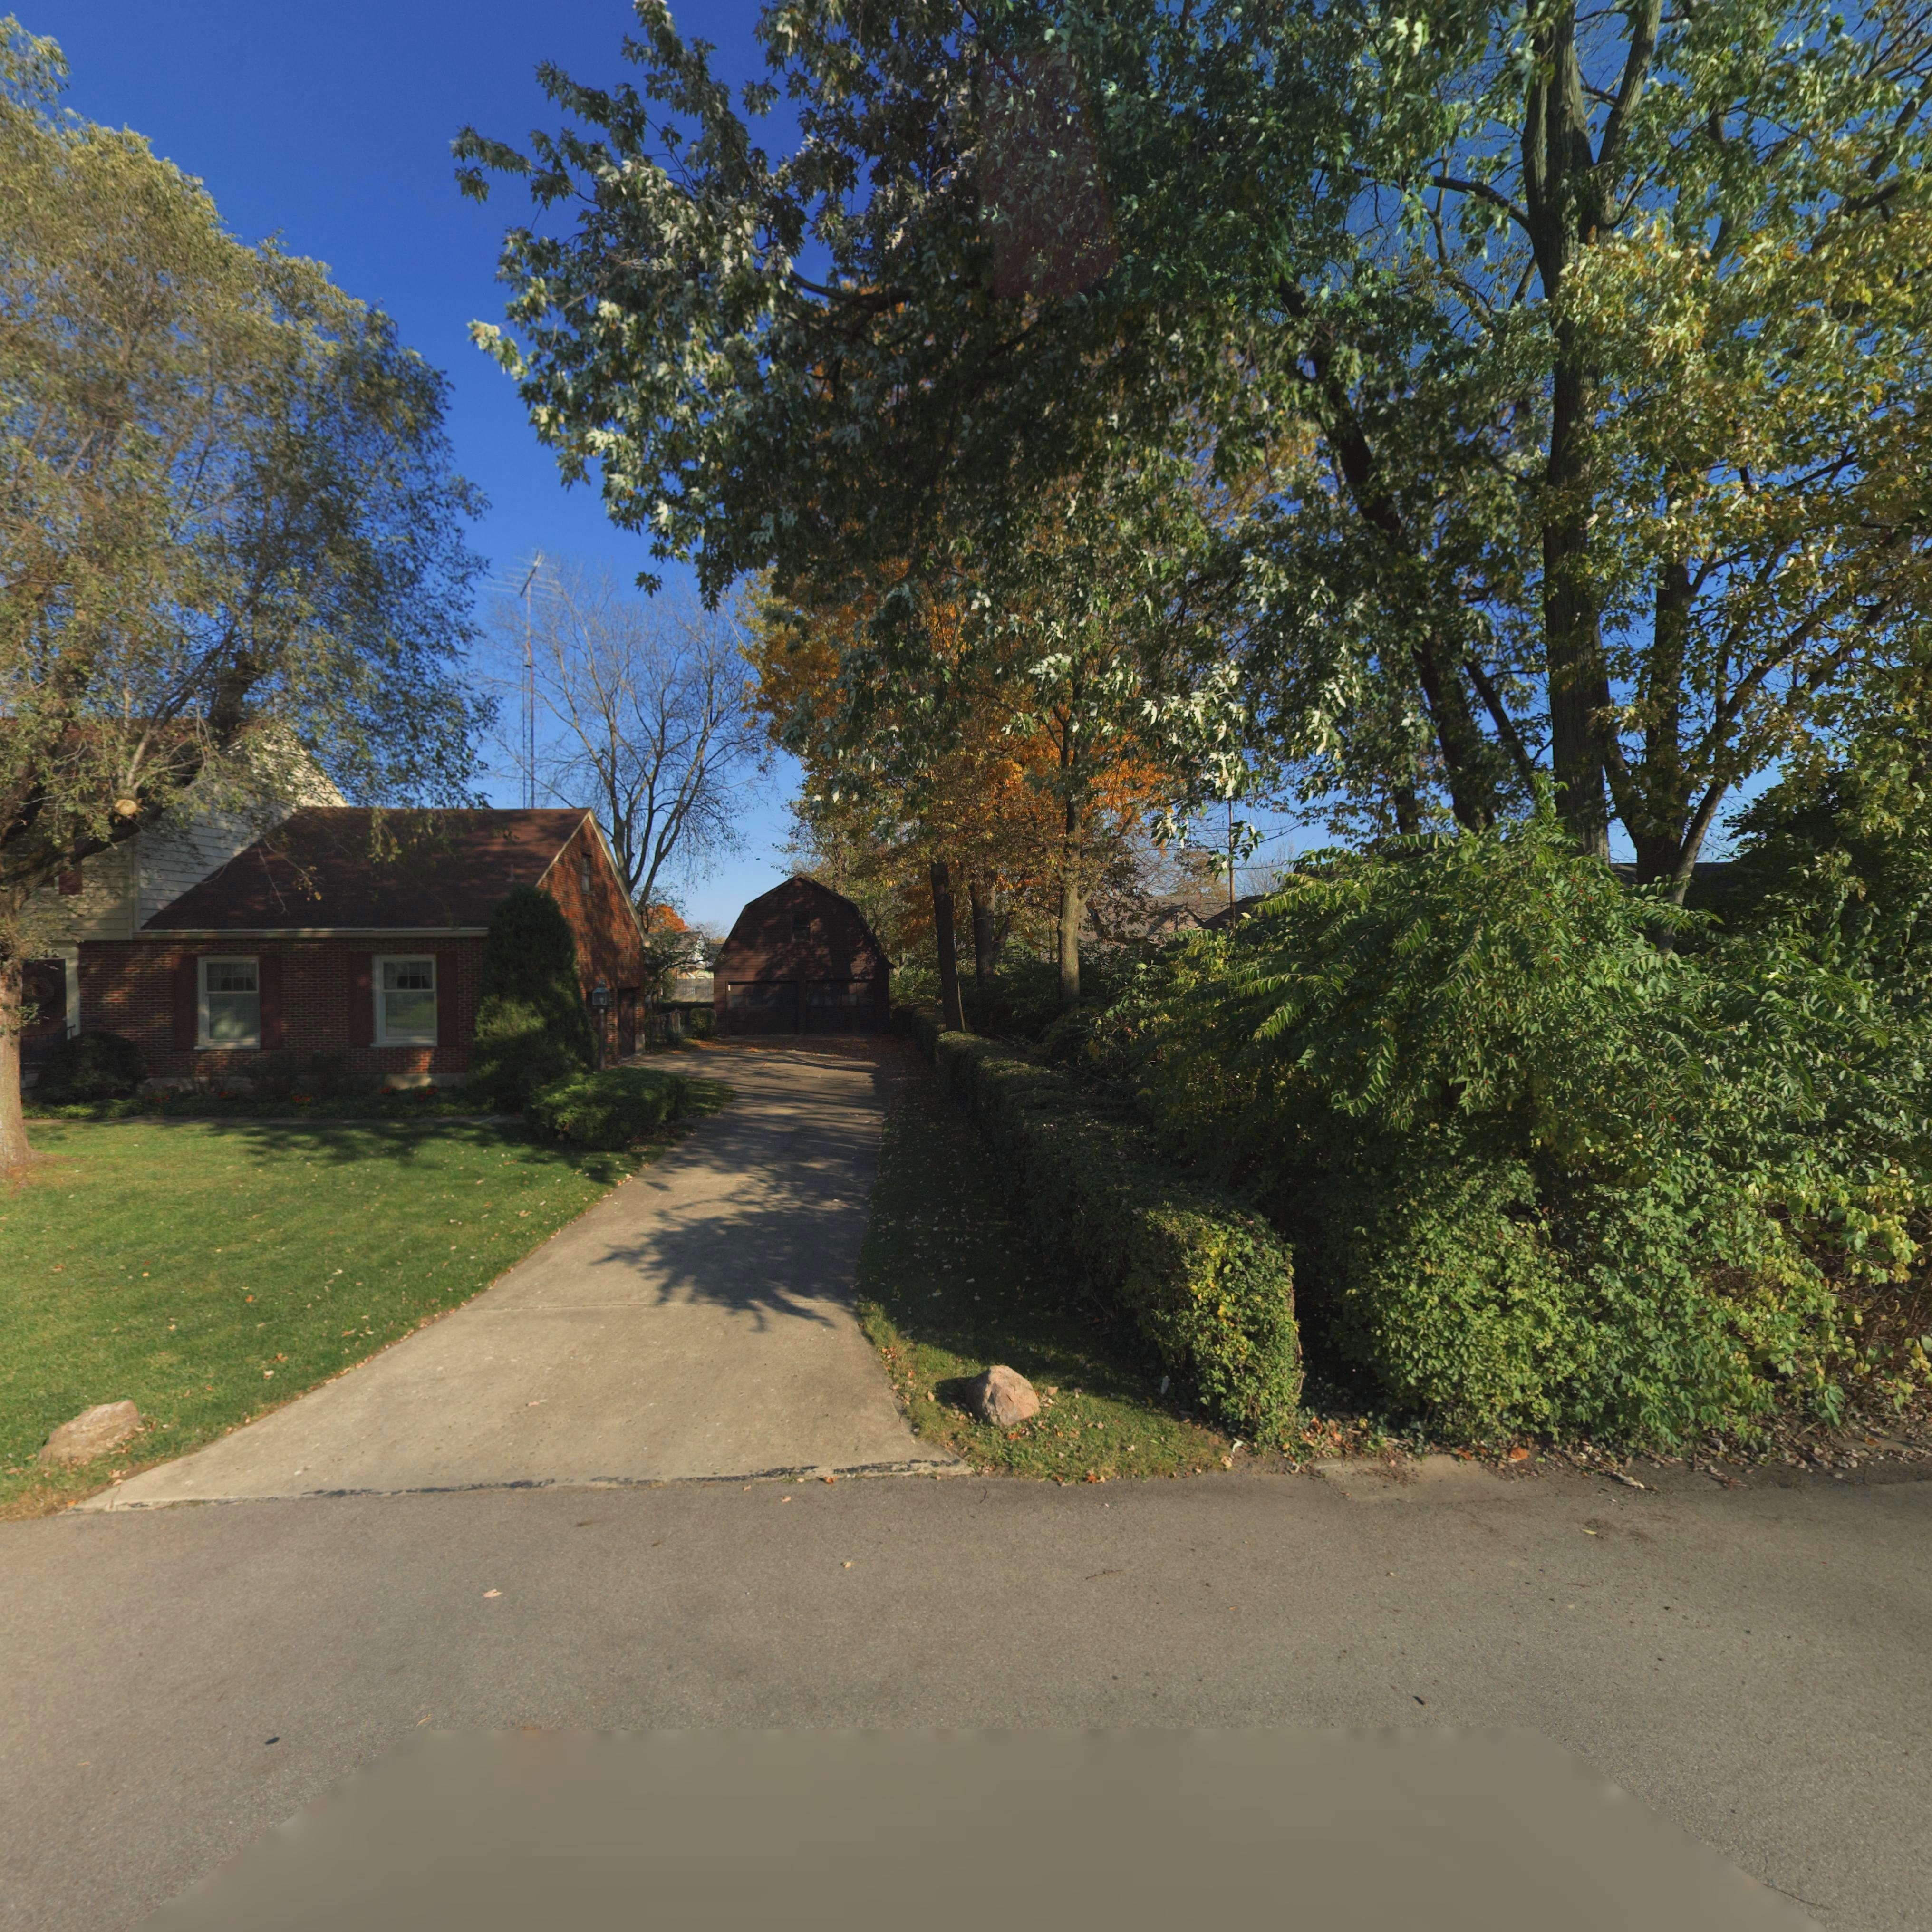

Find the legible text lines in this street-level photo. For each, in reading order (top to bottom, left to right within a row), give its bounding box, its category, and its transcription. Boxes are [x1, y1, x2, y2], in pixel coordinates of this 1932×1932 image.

[38, 948, 60, 958] StreetNumber: 42